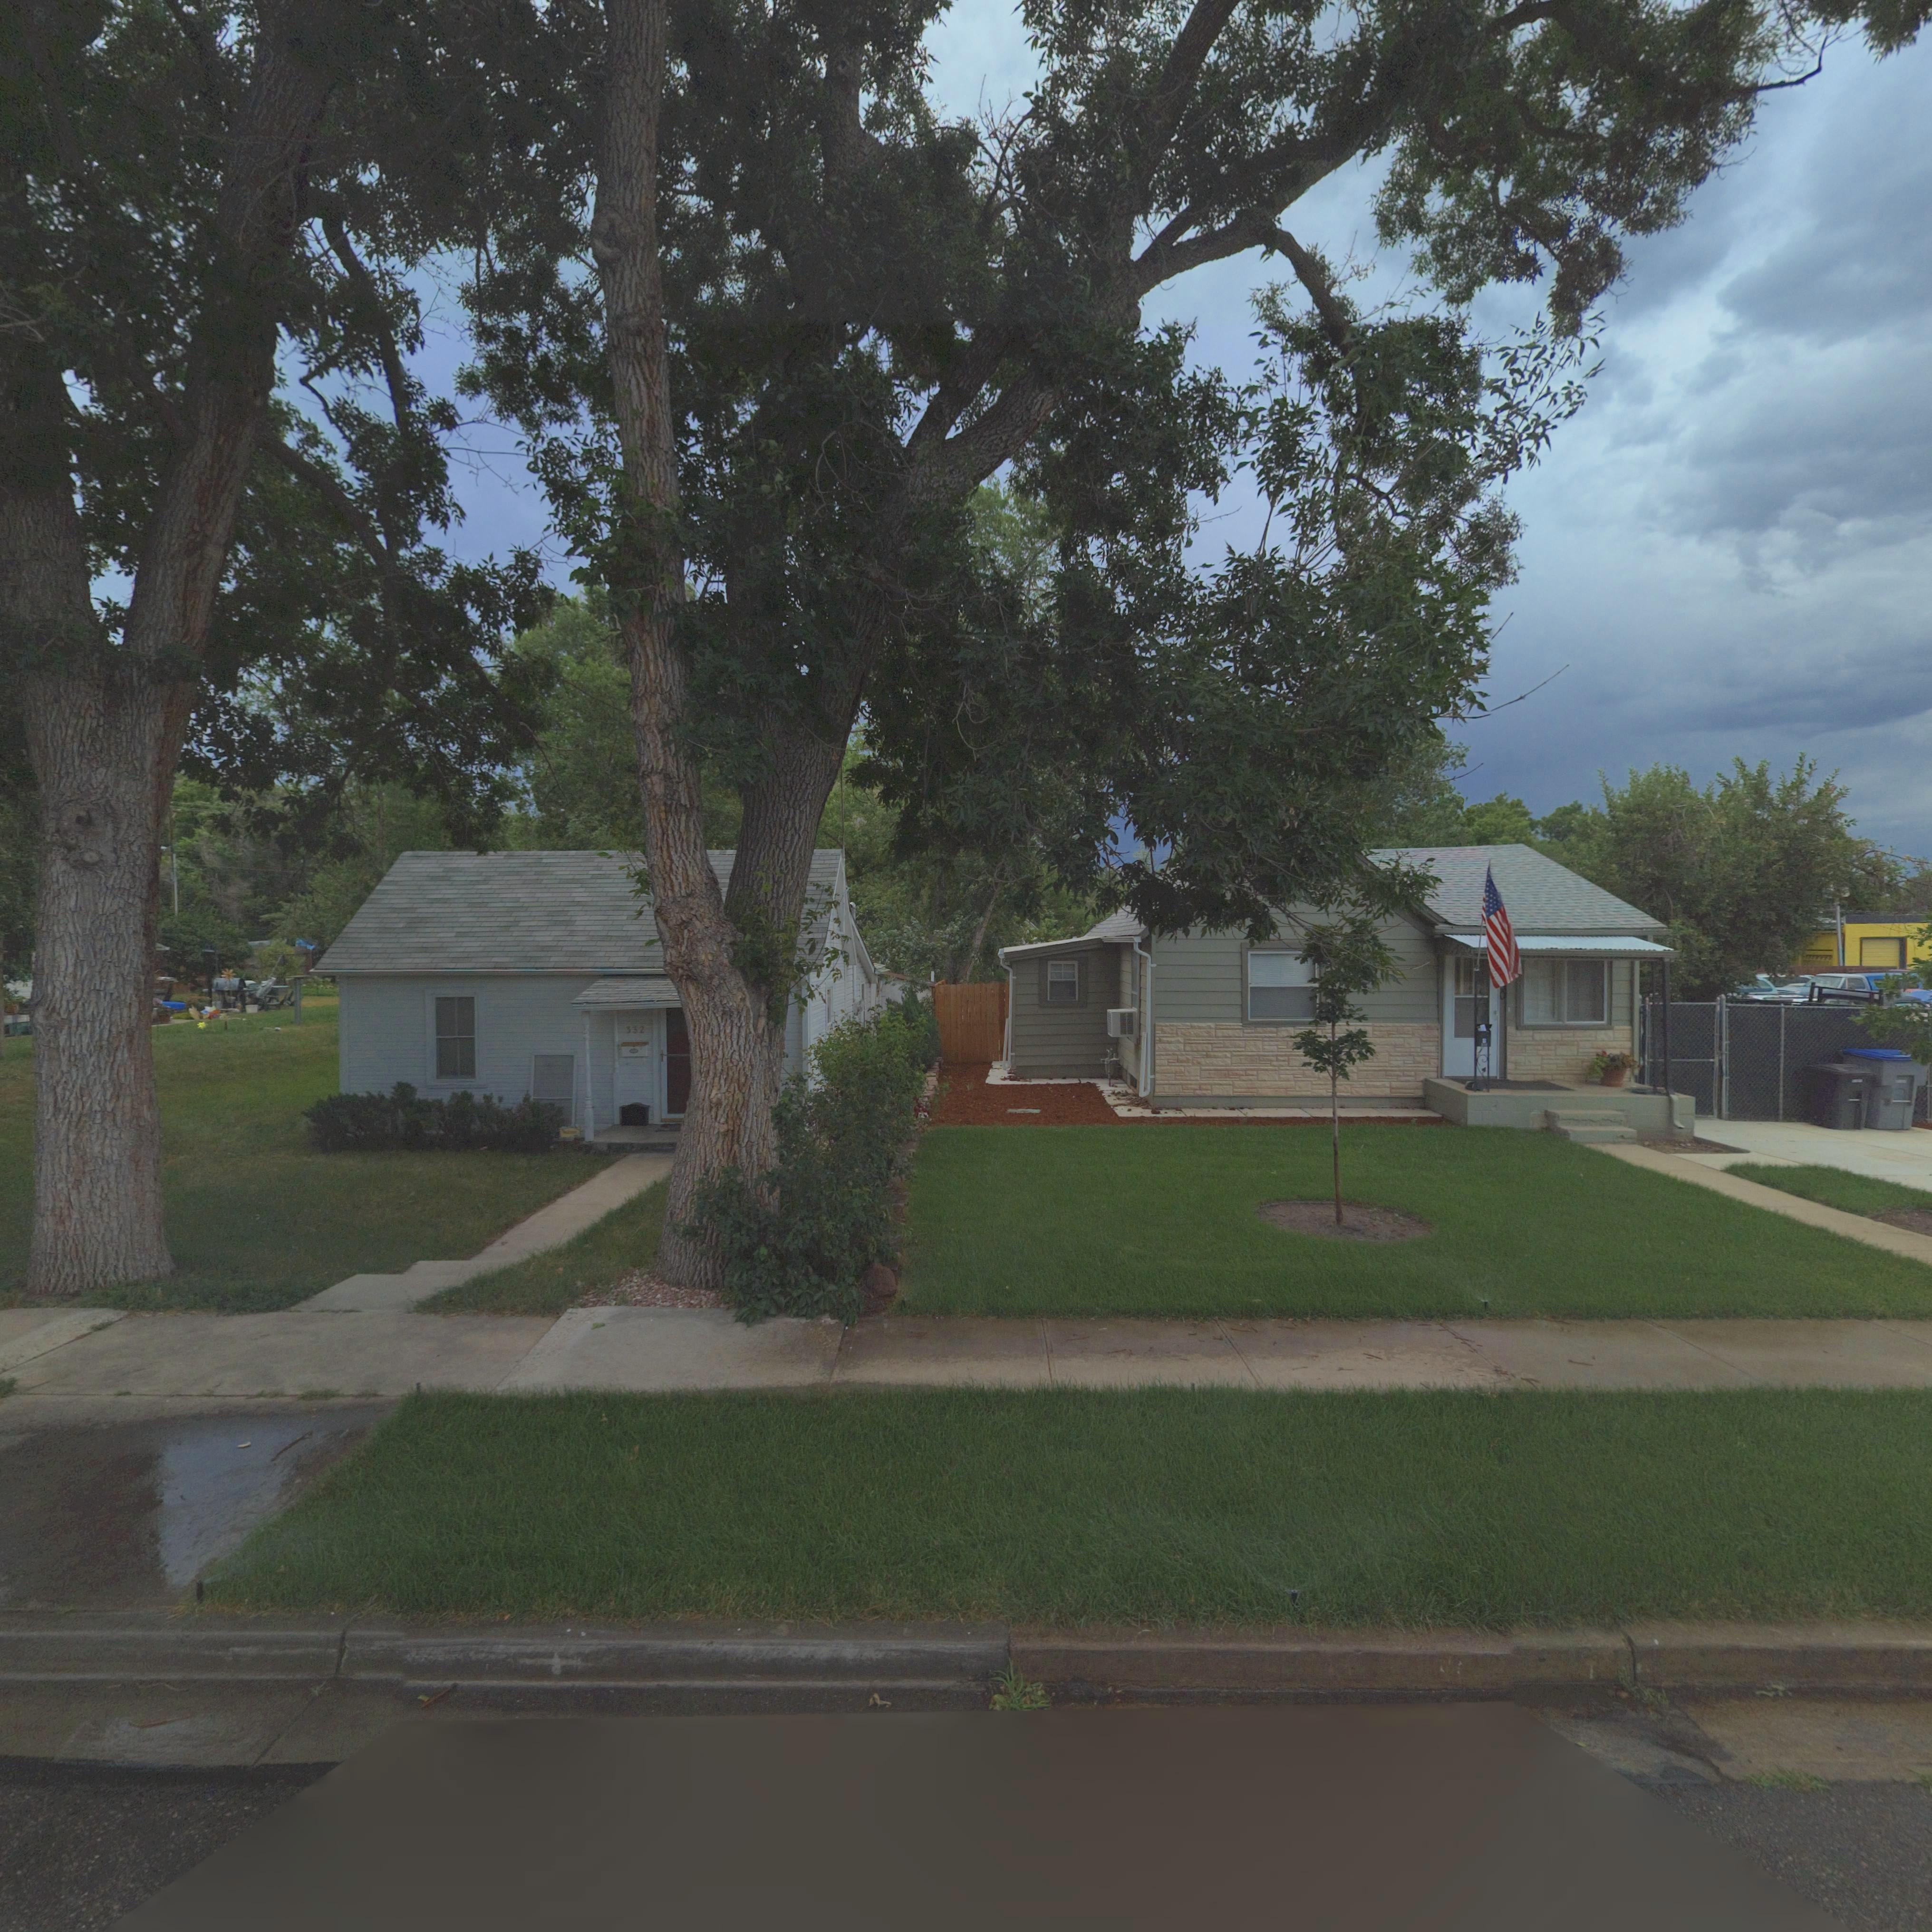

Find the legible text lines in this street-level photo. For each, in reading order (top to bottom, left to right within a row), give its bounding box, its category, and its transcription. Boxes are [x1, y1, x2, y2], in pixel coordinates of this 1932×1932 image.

[625, 1025, 645, 1034] StreetNumber: 332